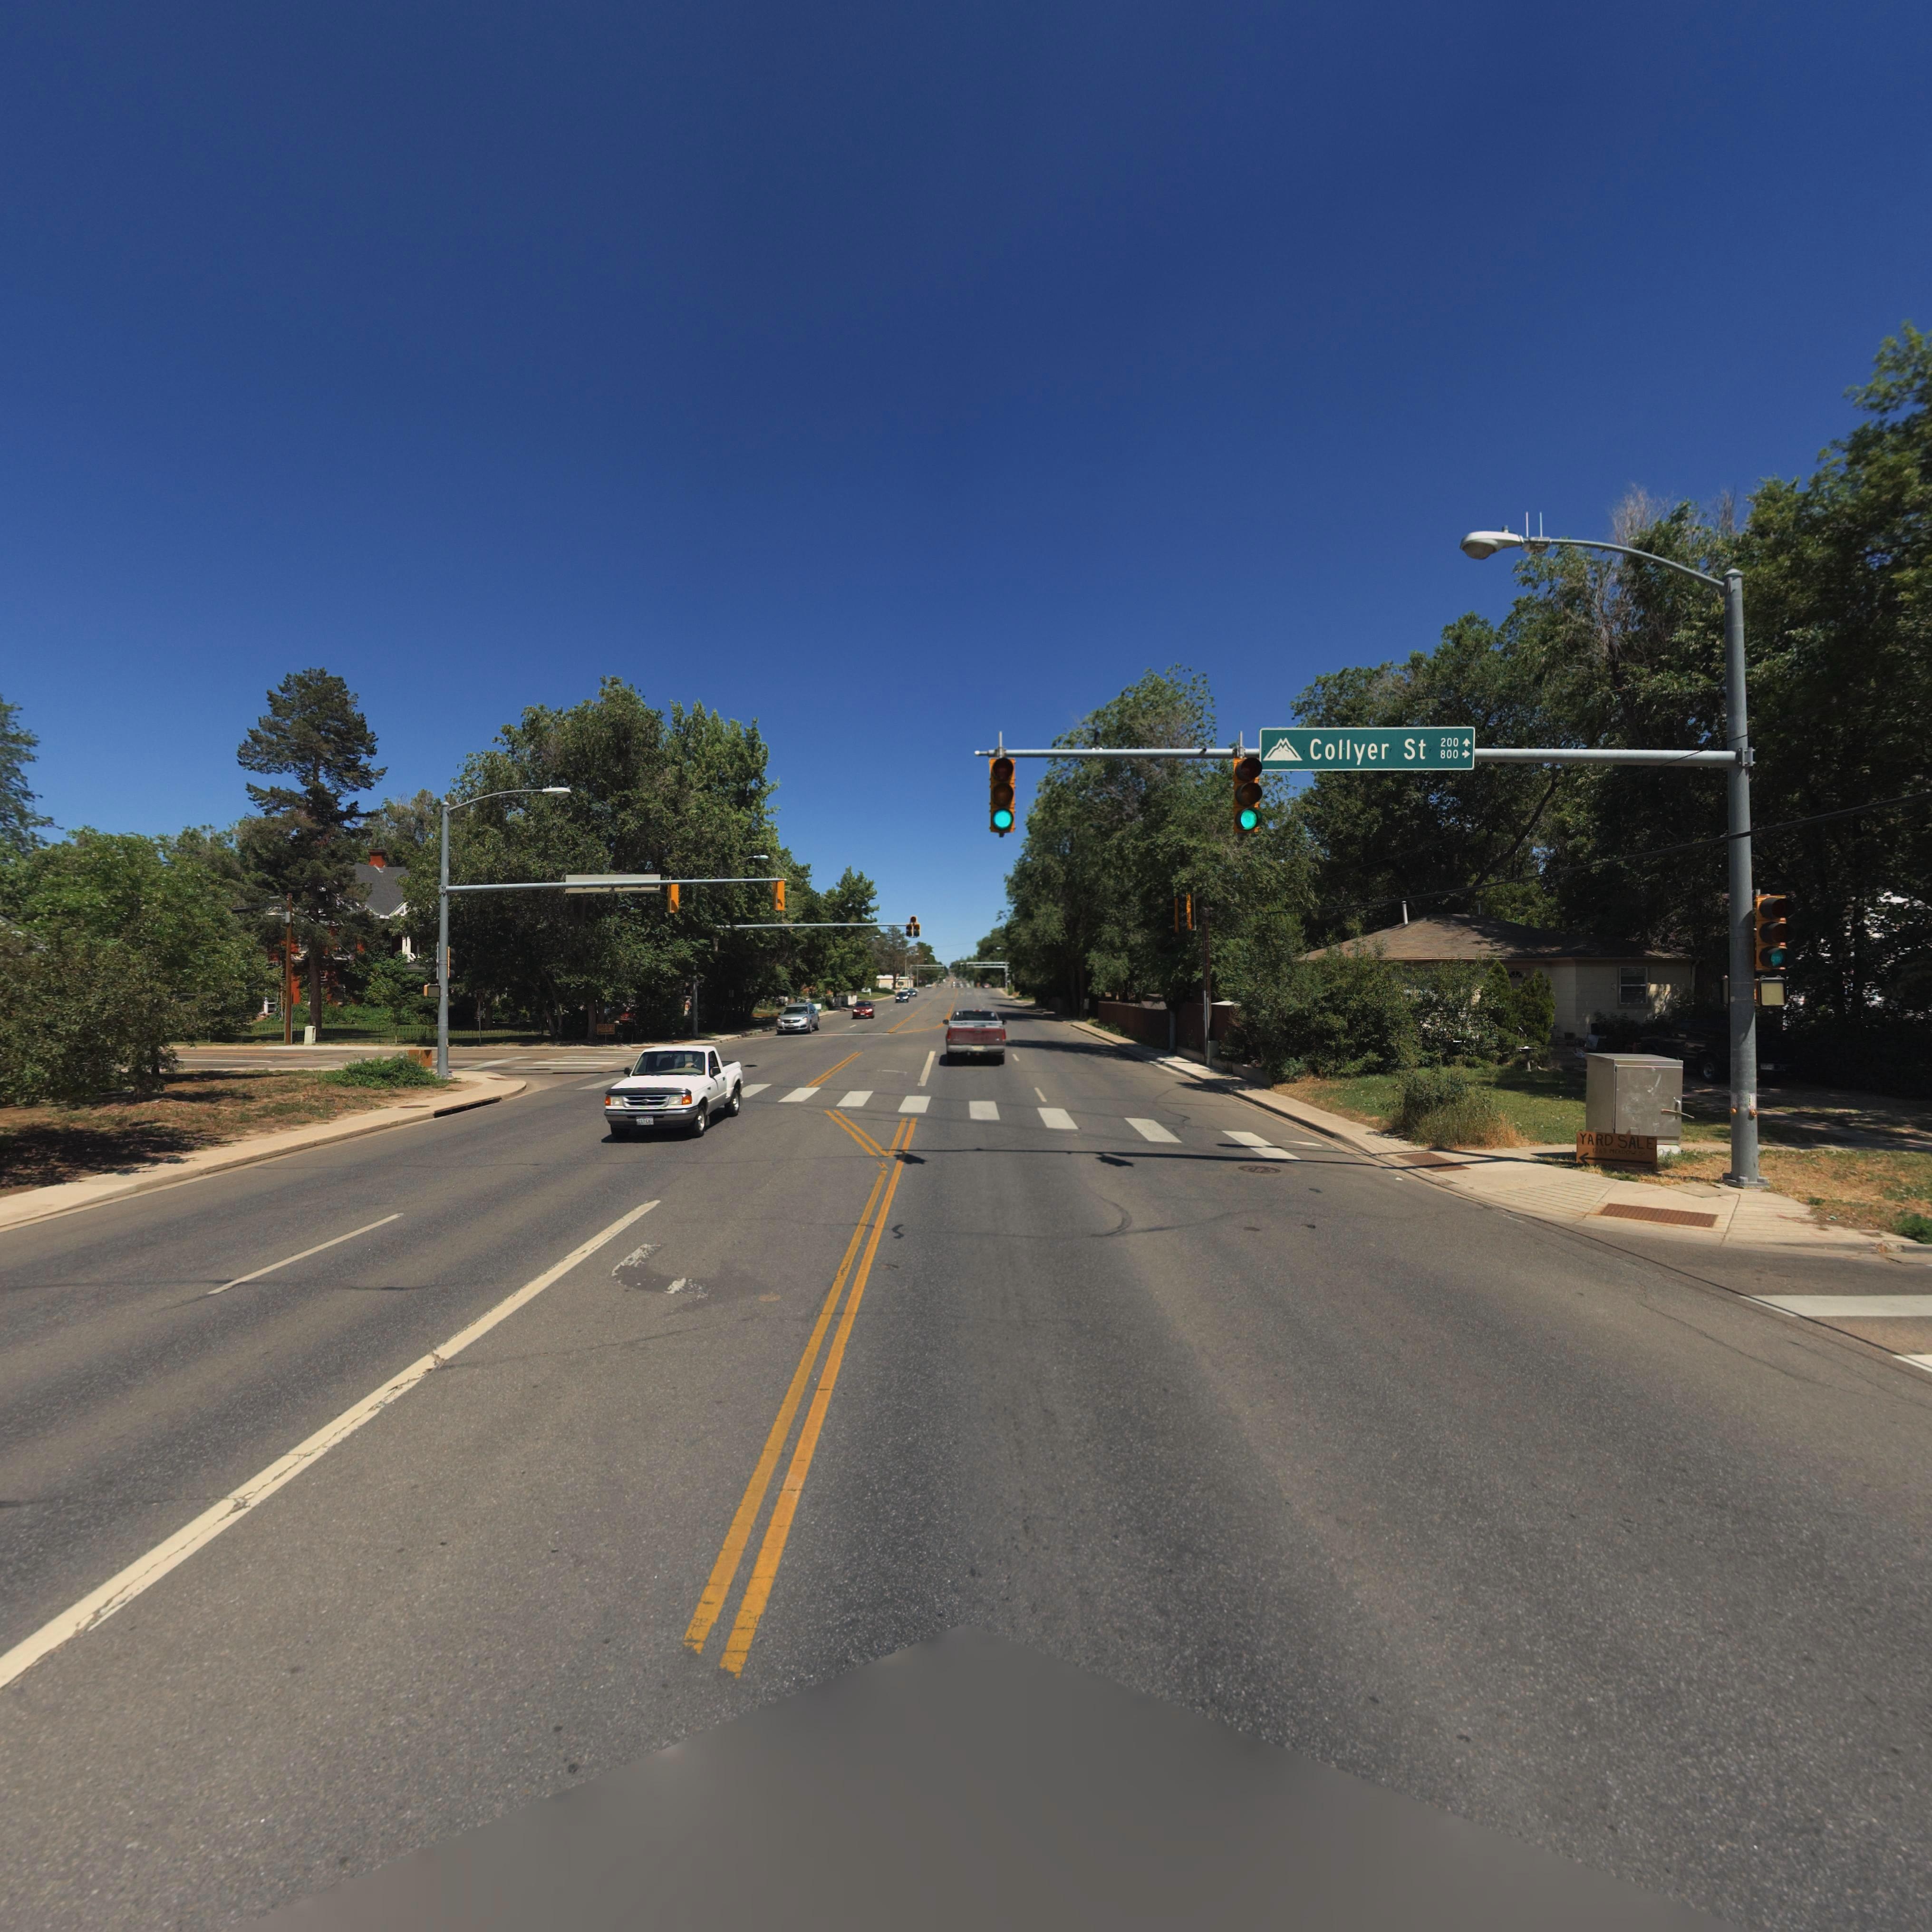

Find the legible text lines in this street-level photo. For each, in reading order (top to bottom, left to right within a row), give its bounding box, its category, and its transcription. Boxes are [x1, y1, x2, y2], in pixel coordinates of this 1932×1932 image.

[1440, 737, 1459, 747] StreetNumberRange: 200
[1309, 737, 1426, 766] StreetName: Collyer St
[1440, 749, 1471, 759] StreetNumberRange: 800->